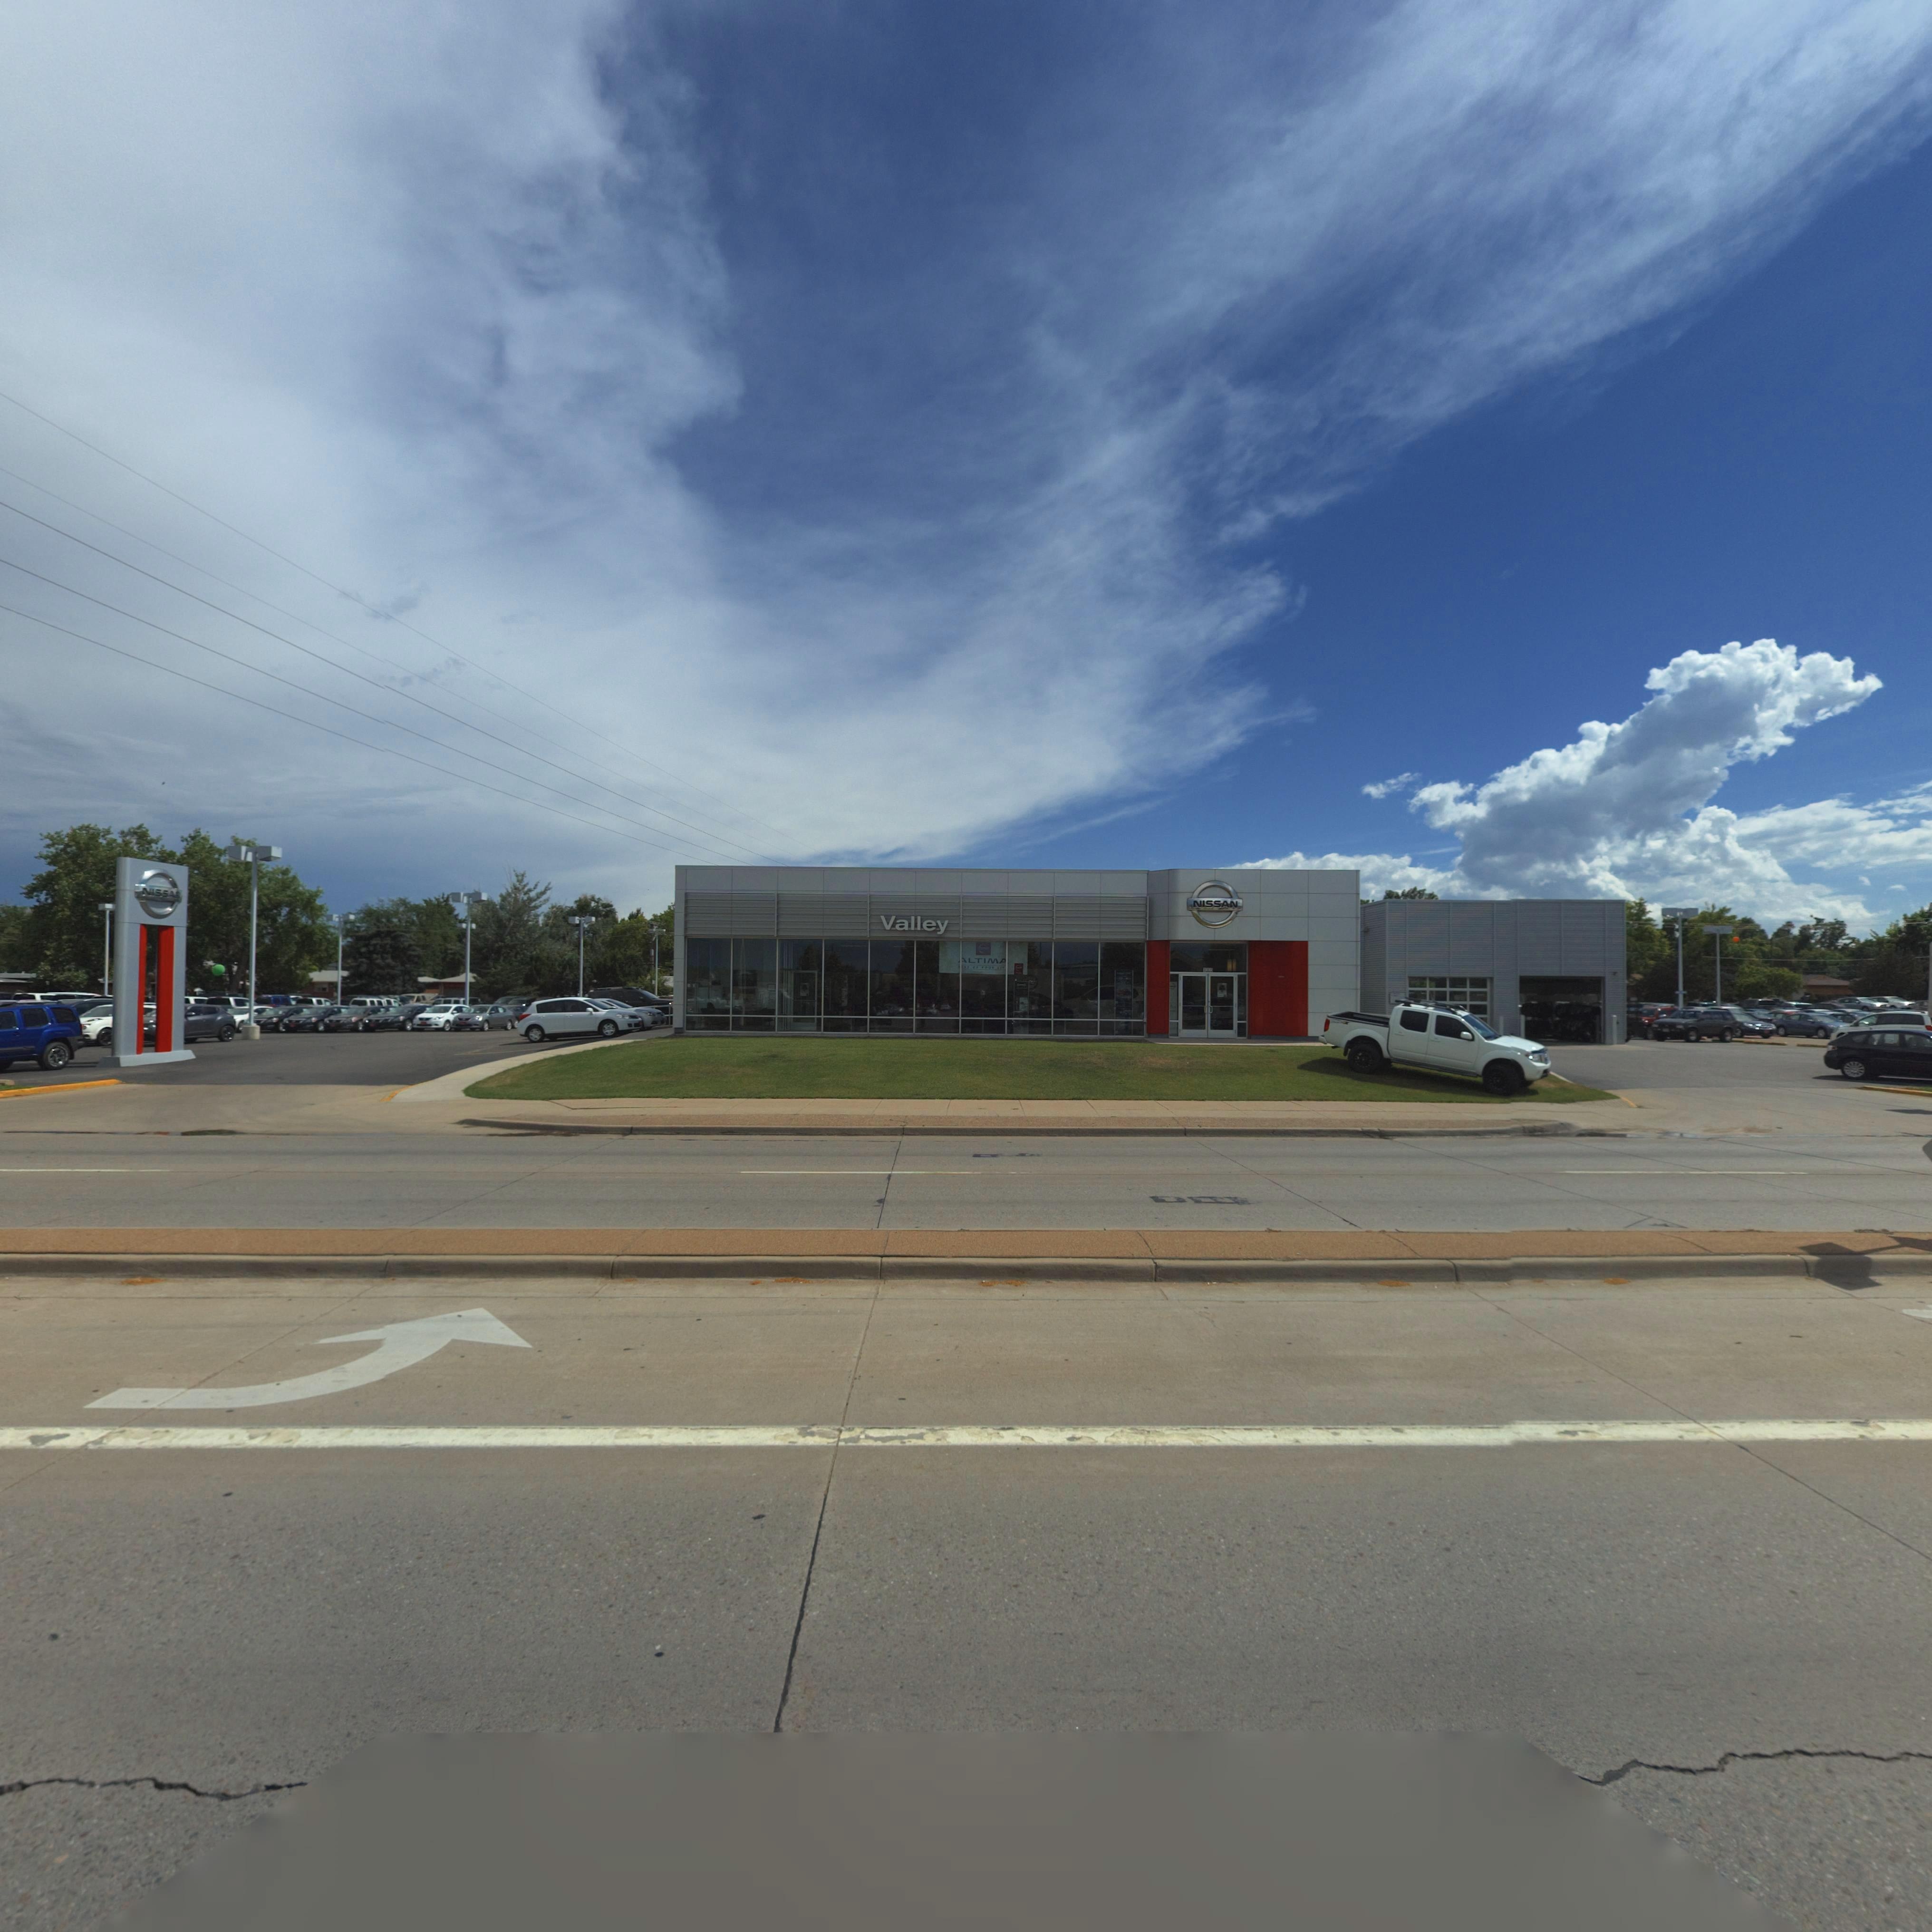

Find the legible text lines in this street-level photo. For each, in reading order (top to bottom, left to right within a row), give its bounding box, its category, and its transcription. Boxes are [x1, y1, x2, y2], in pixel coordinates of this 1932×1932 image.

[141, 887, 180, 899] BusinessName: NISSA*
[1192, 899, 1237, 908] BusinessName: NISSAN
[879, 915, 949, 935] BusinessName: Valley
[1203, 967, 1212, 972] StreetNumber: 1005